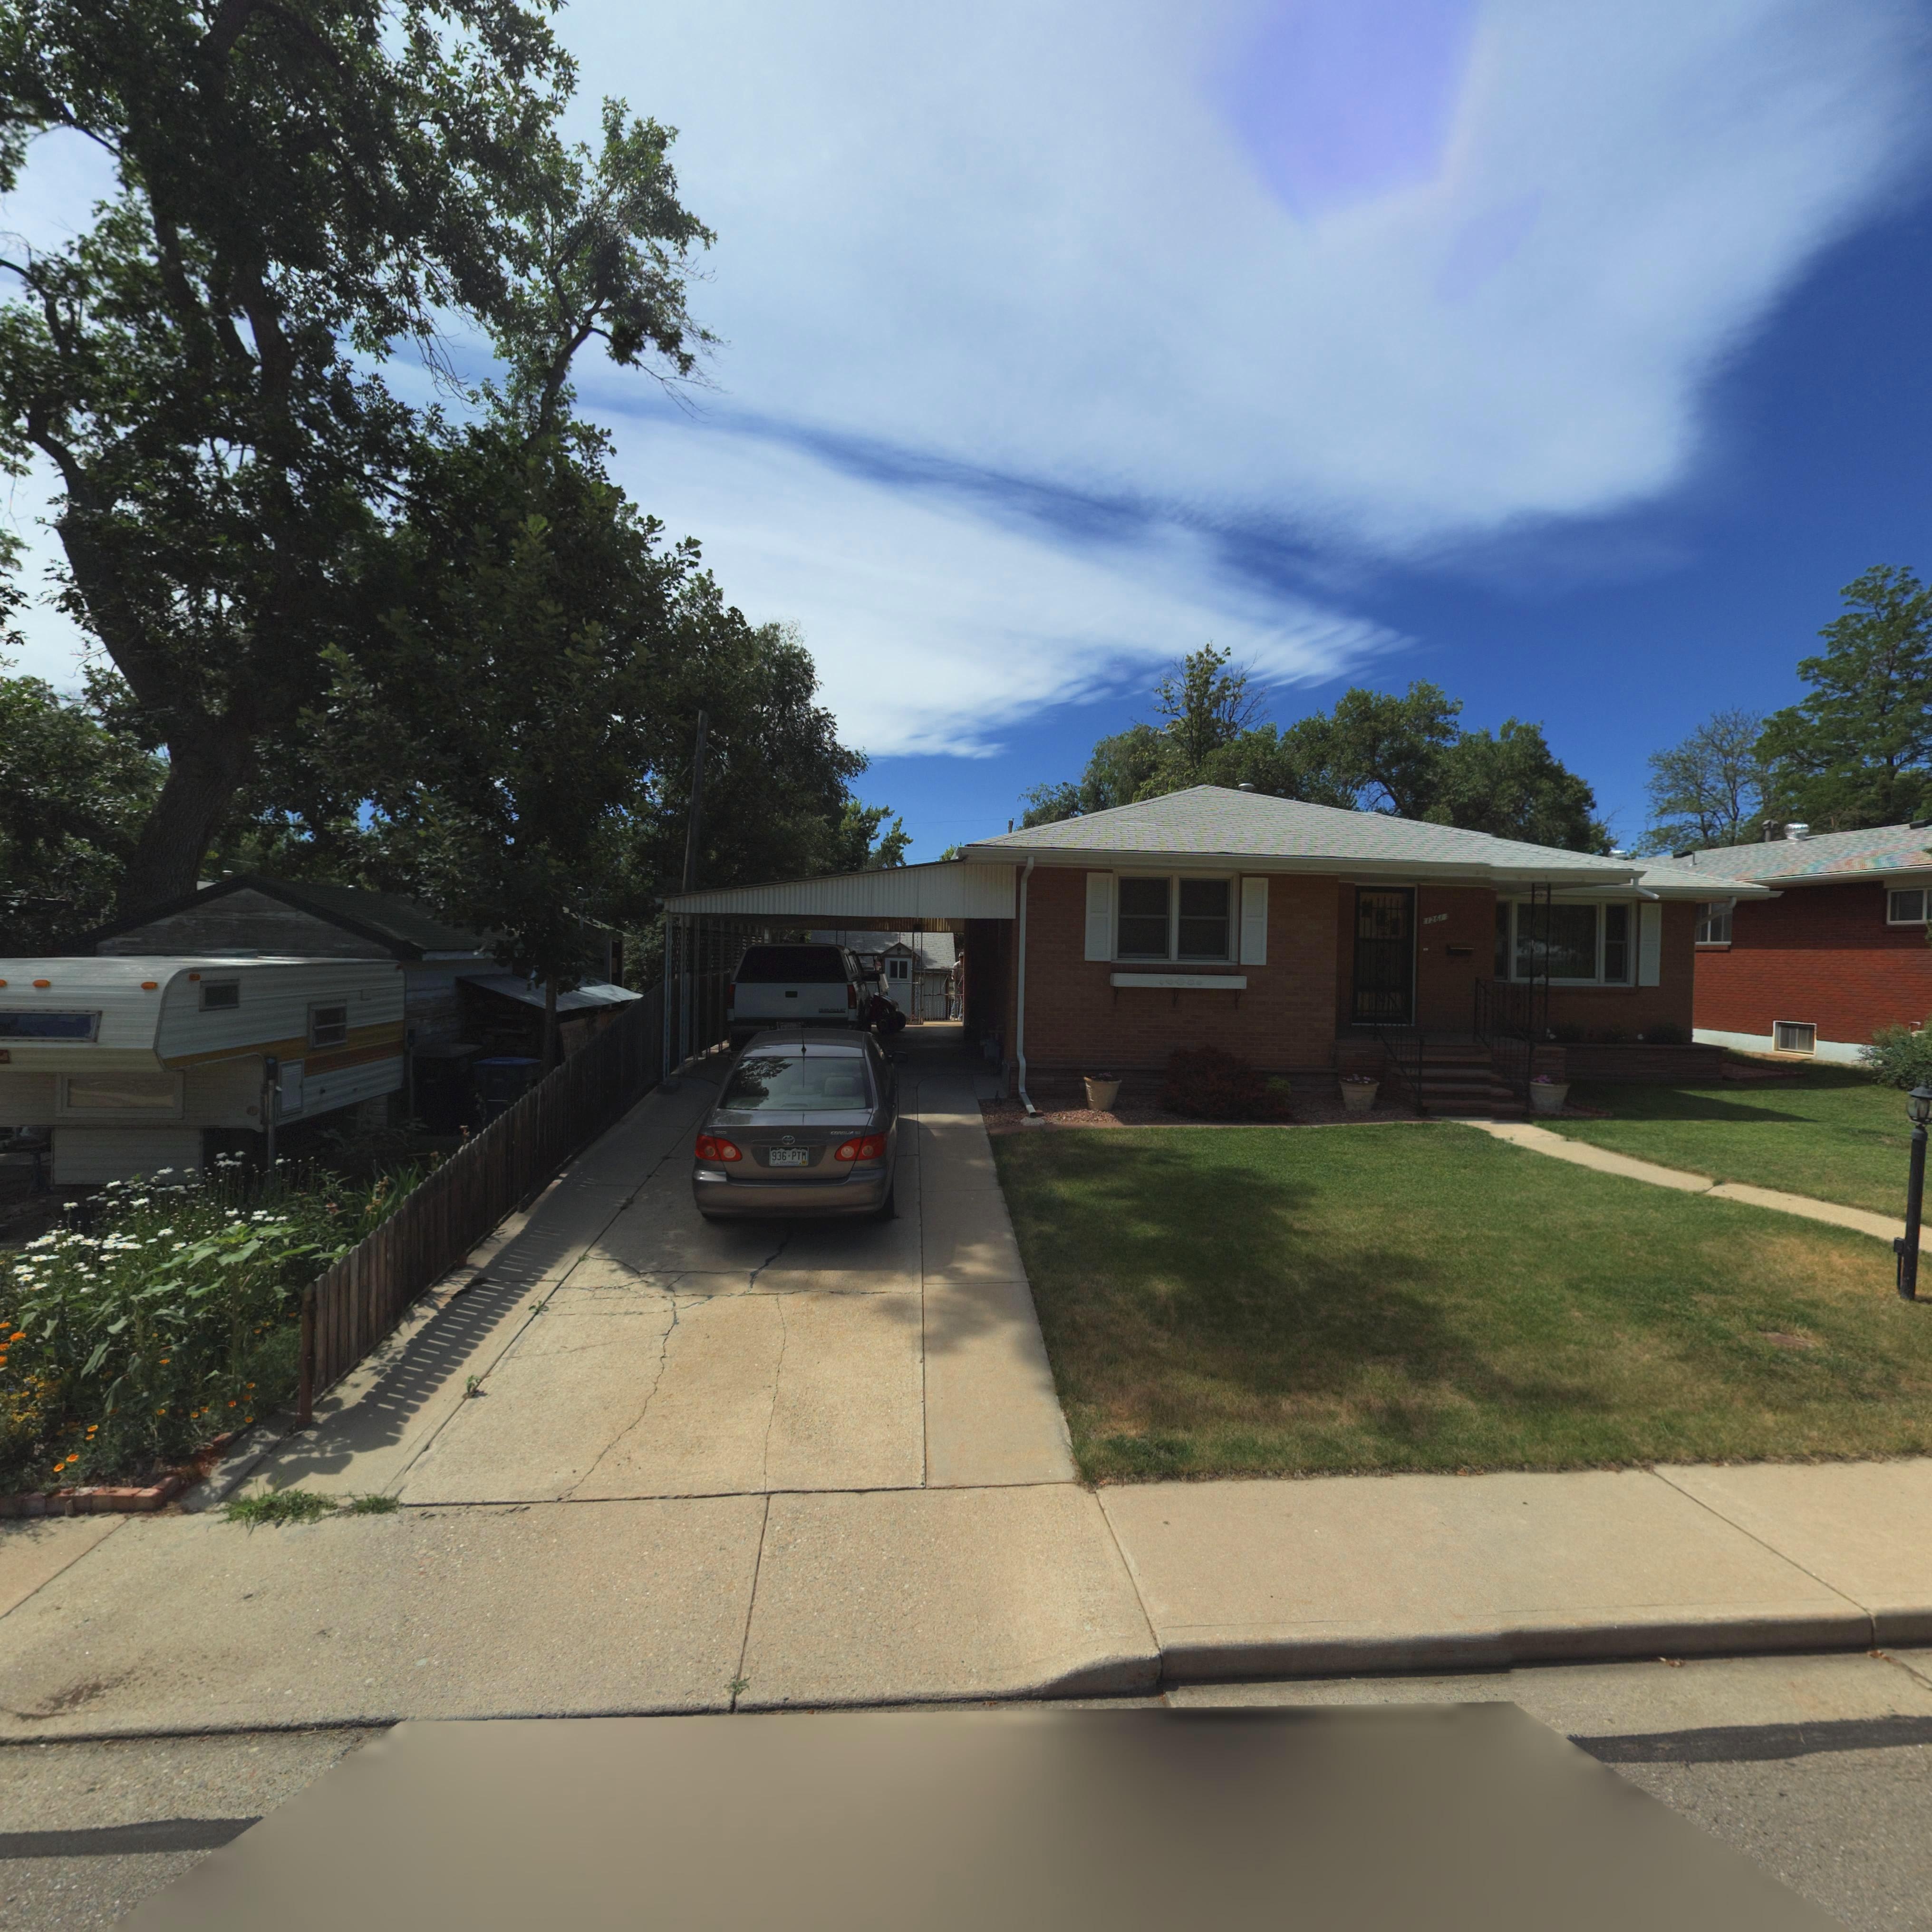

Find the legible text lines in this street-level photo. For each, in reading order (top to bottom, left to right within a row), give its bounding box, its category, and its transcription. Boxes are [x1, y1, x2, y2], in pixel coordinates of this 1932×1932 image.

[1426, 914, 1443, 925] StreetNumber: 1261